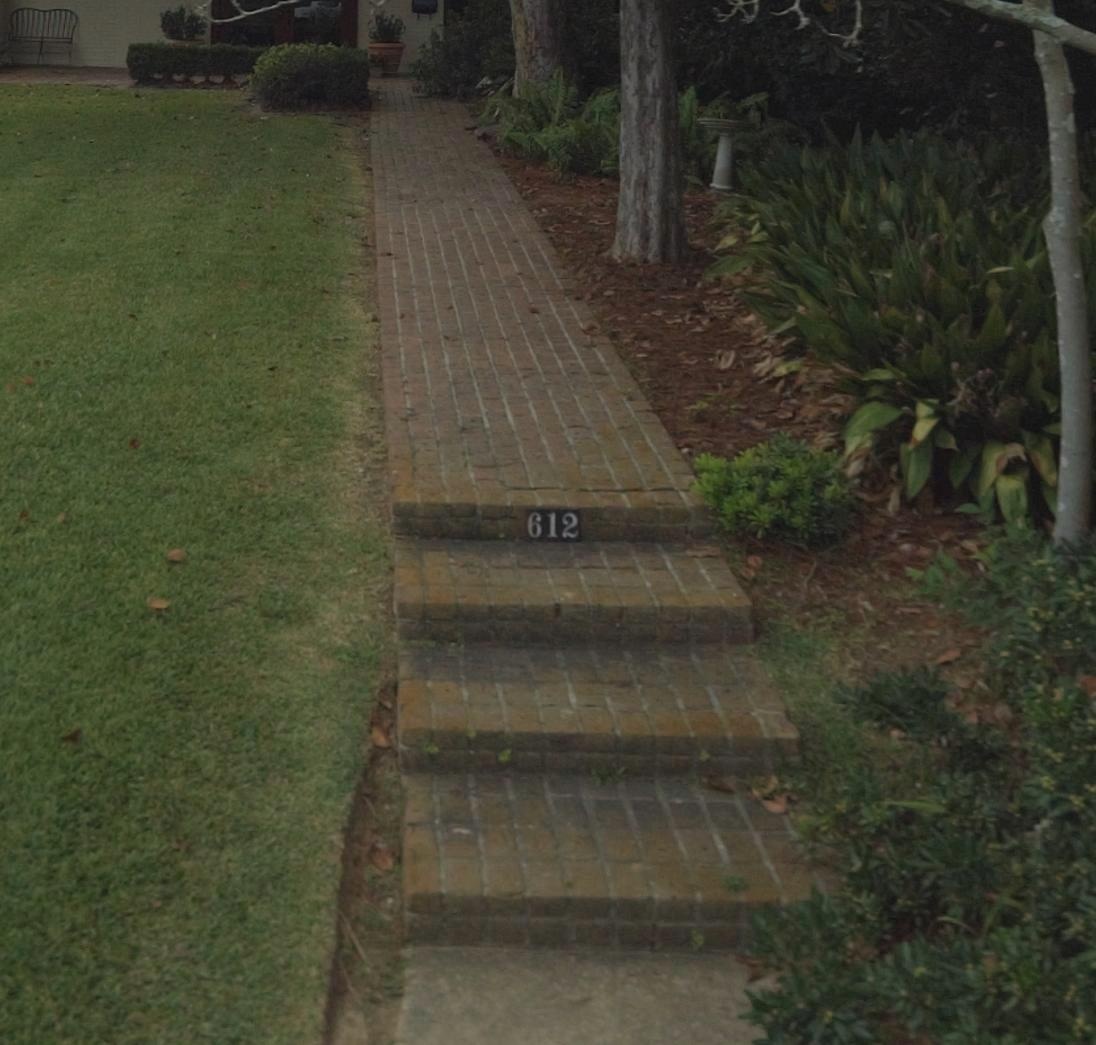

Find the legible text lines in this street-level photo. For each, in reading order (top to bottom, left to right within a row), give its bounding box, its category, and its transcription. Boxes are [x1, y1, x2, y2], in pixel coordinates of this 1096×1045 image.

[527, 510, 581, 541] StreetNumber: 612